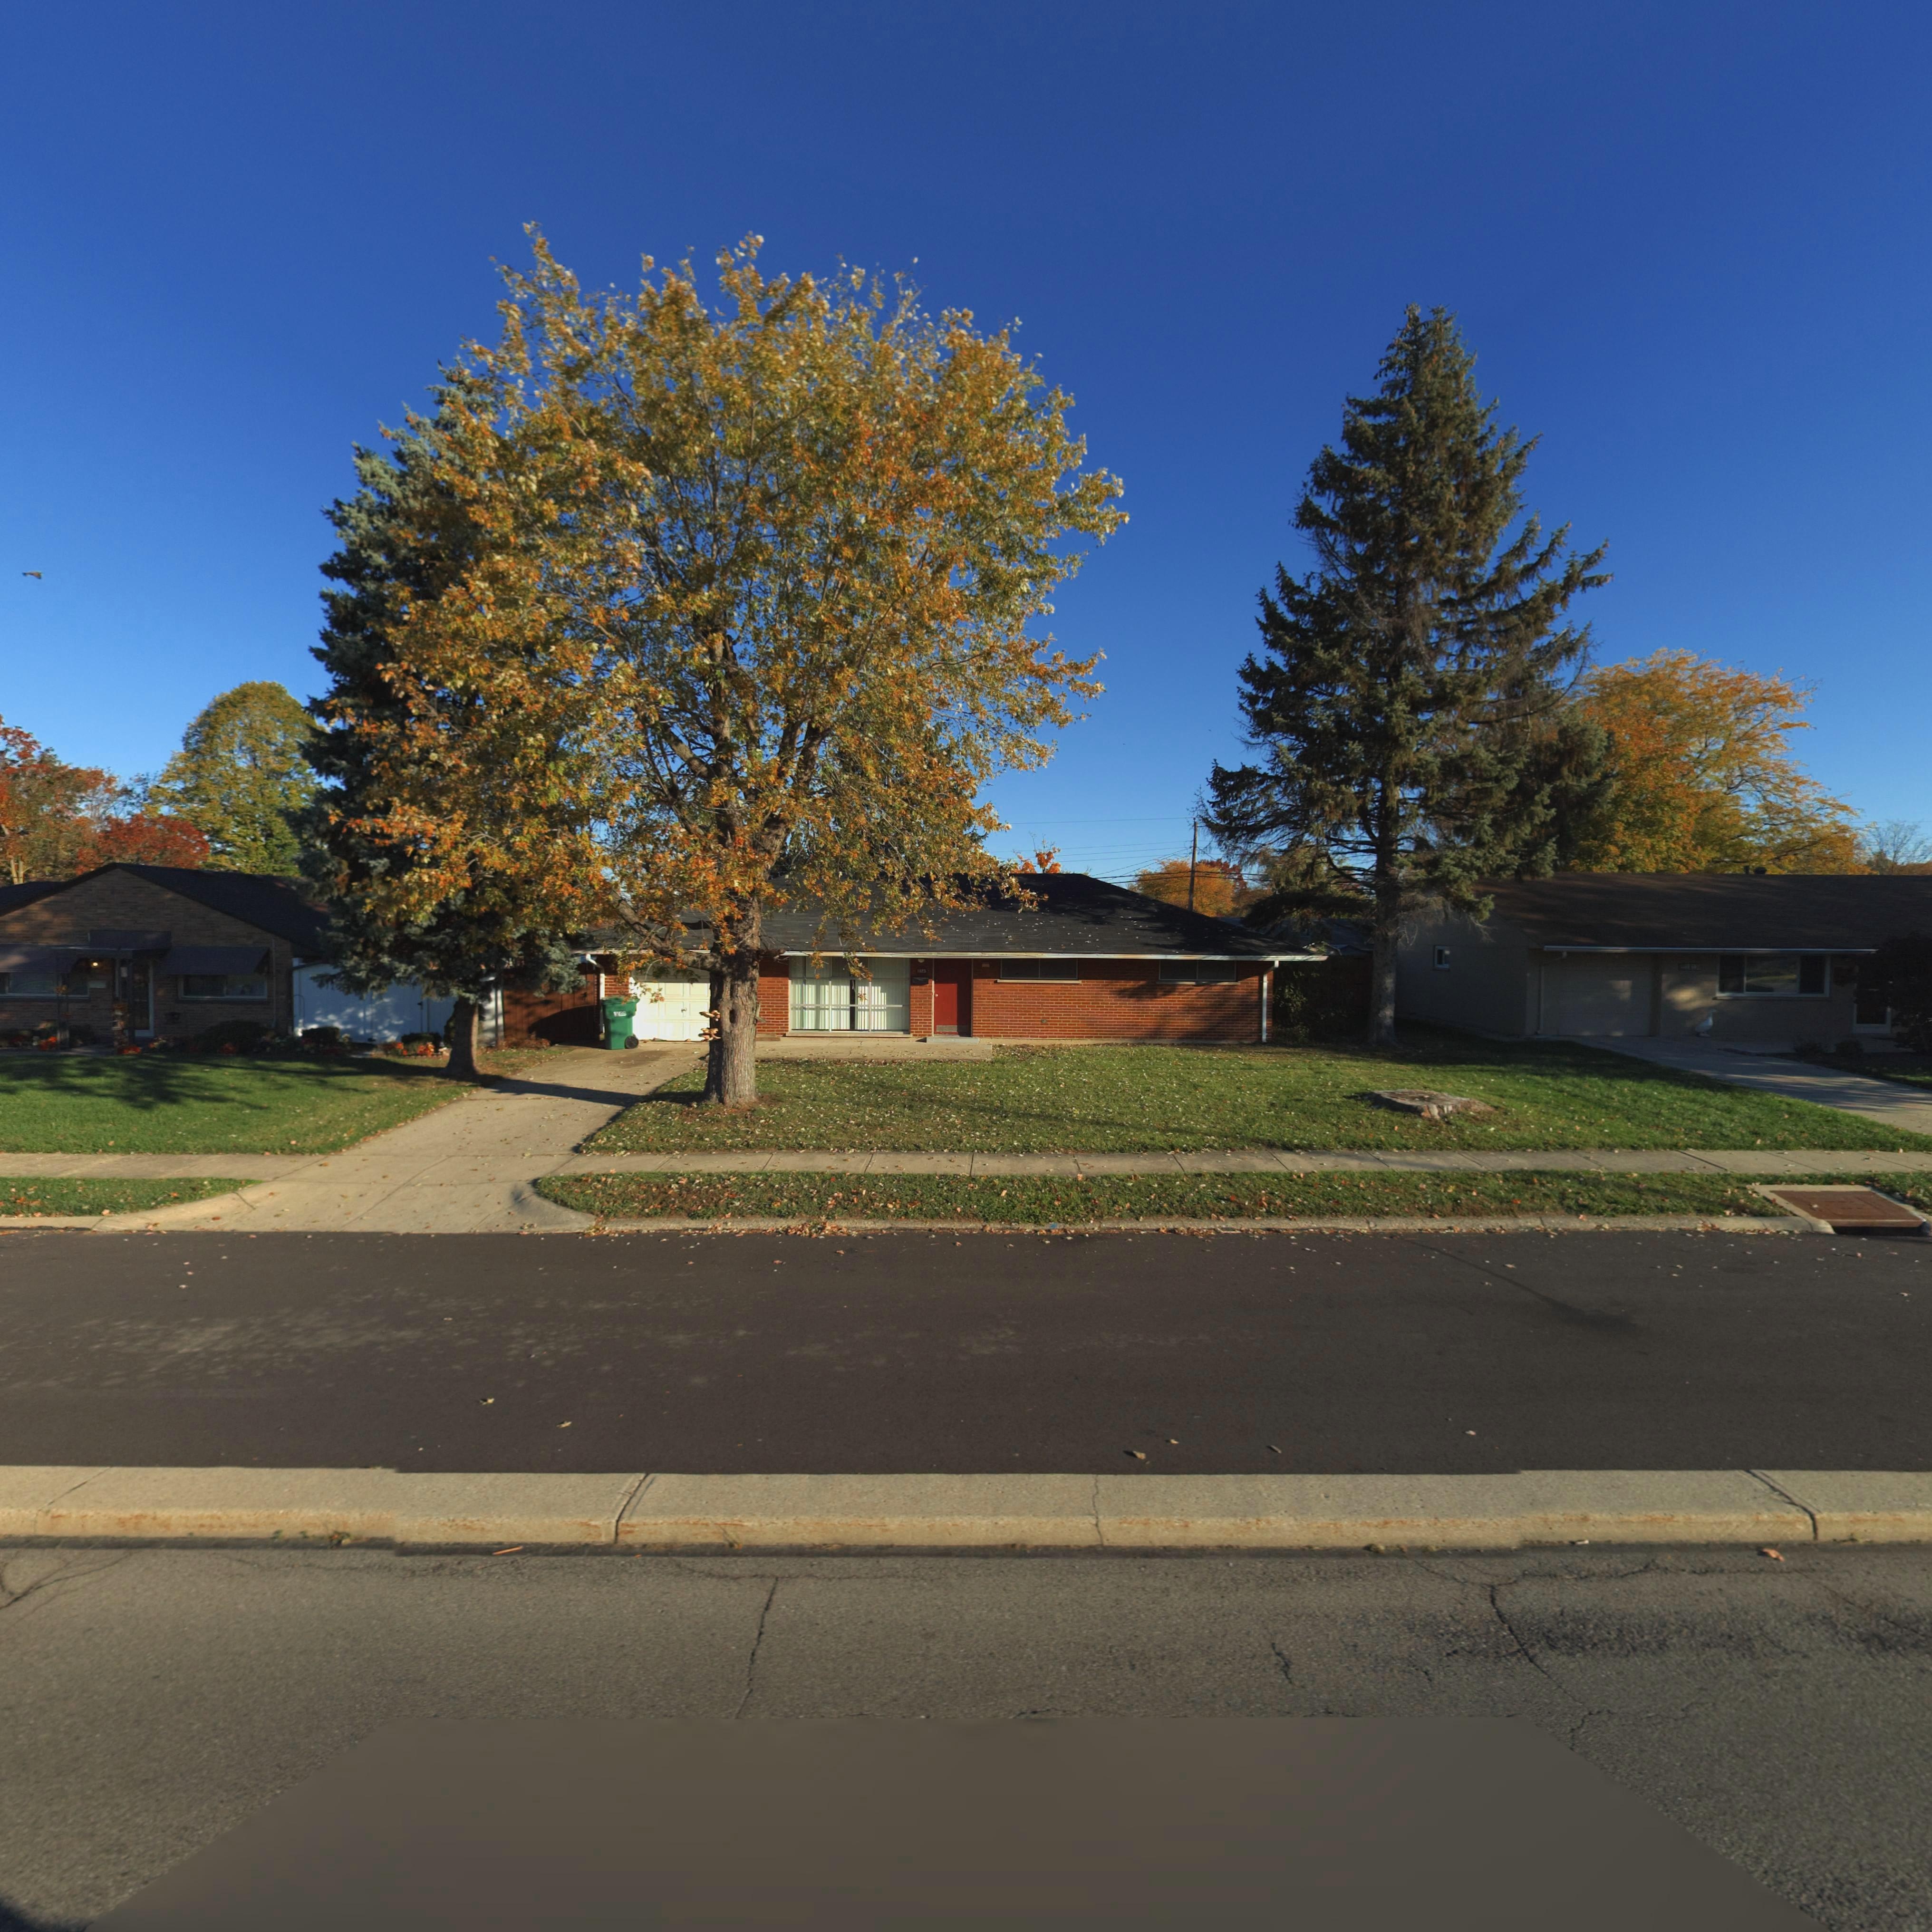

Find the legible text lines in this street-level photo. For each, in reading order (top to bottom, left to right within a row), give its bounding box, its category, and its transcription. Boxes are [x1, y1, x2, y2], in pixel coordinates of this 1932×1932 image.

[917, 968, 927, 974] StreetNumber: 1***